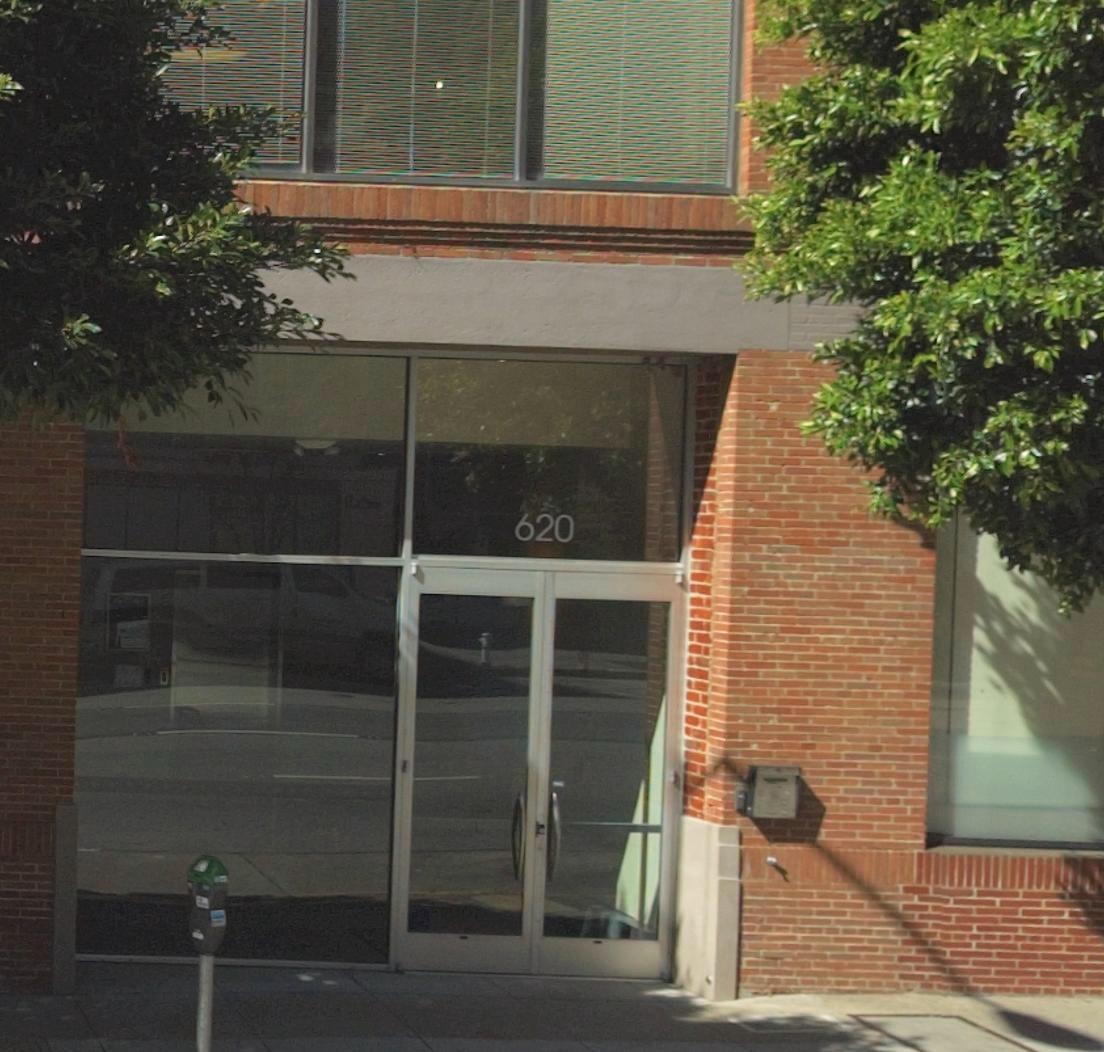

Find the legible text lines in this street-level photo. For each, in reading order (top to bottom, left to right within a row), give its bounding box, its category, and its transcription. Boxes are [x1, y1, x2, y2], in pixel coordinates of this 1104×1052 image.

[506, 507, 579, 546] StreetNumber: 620